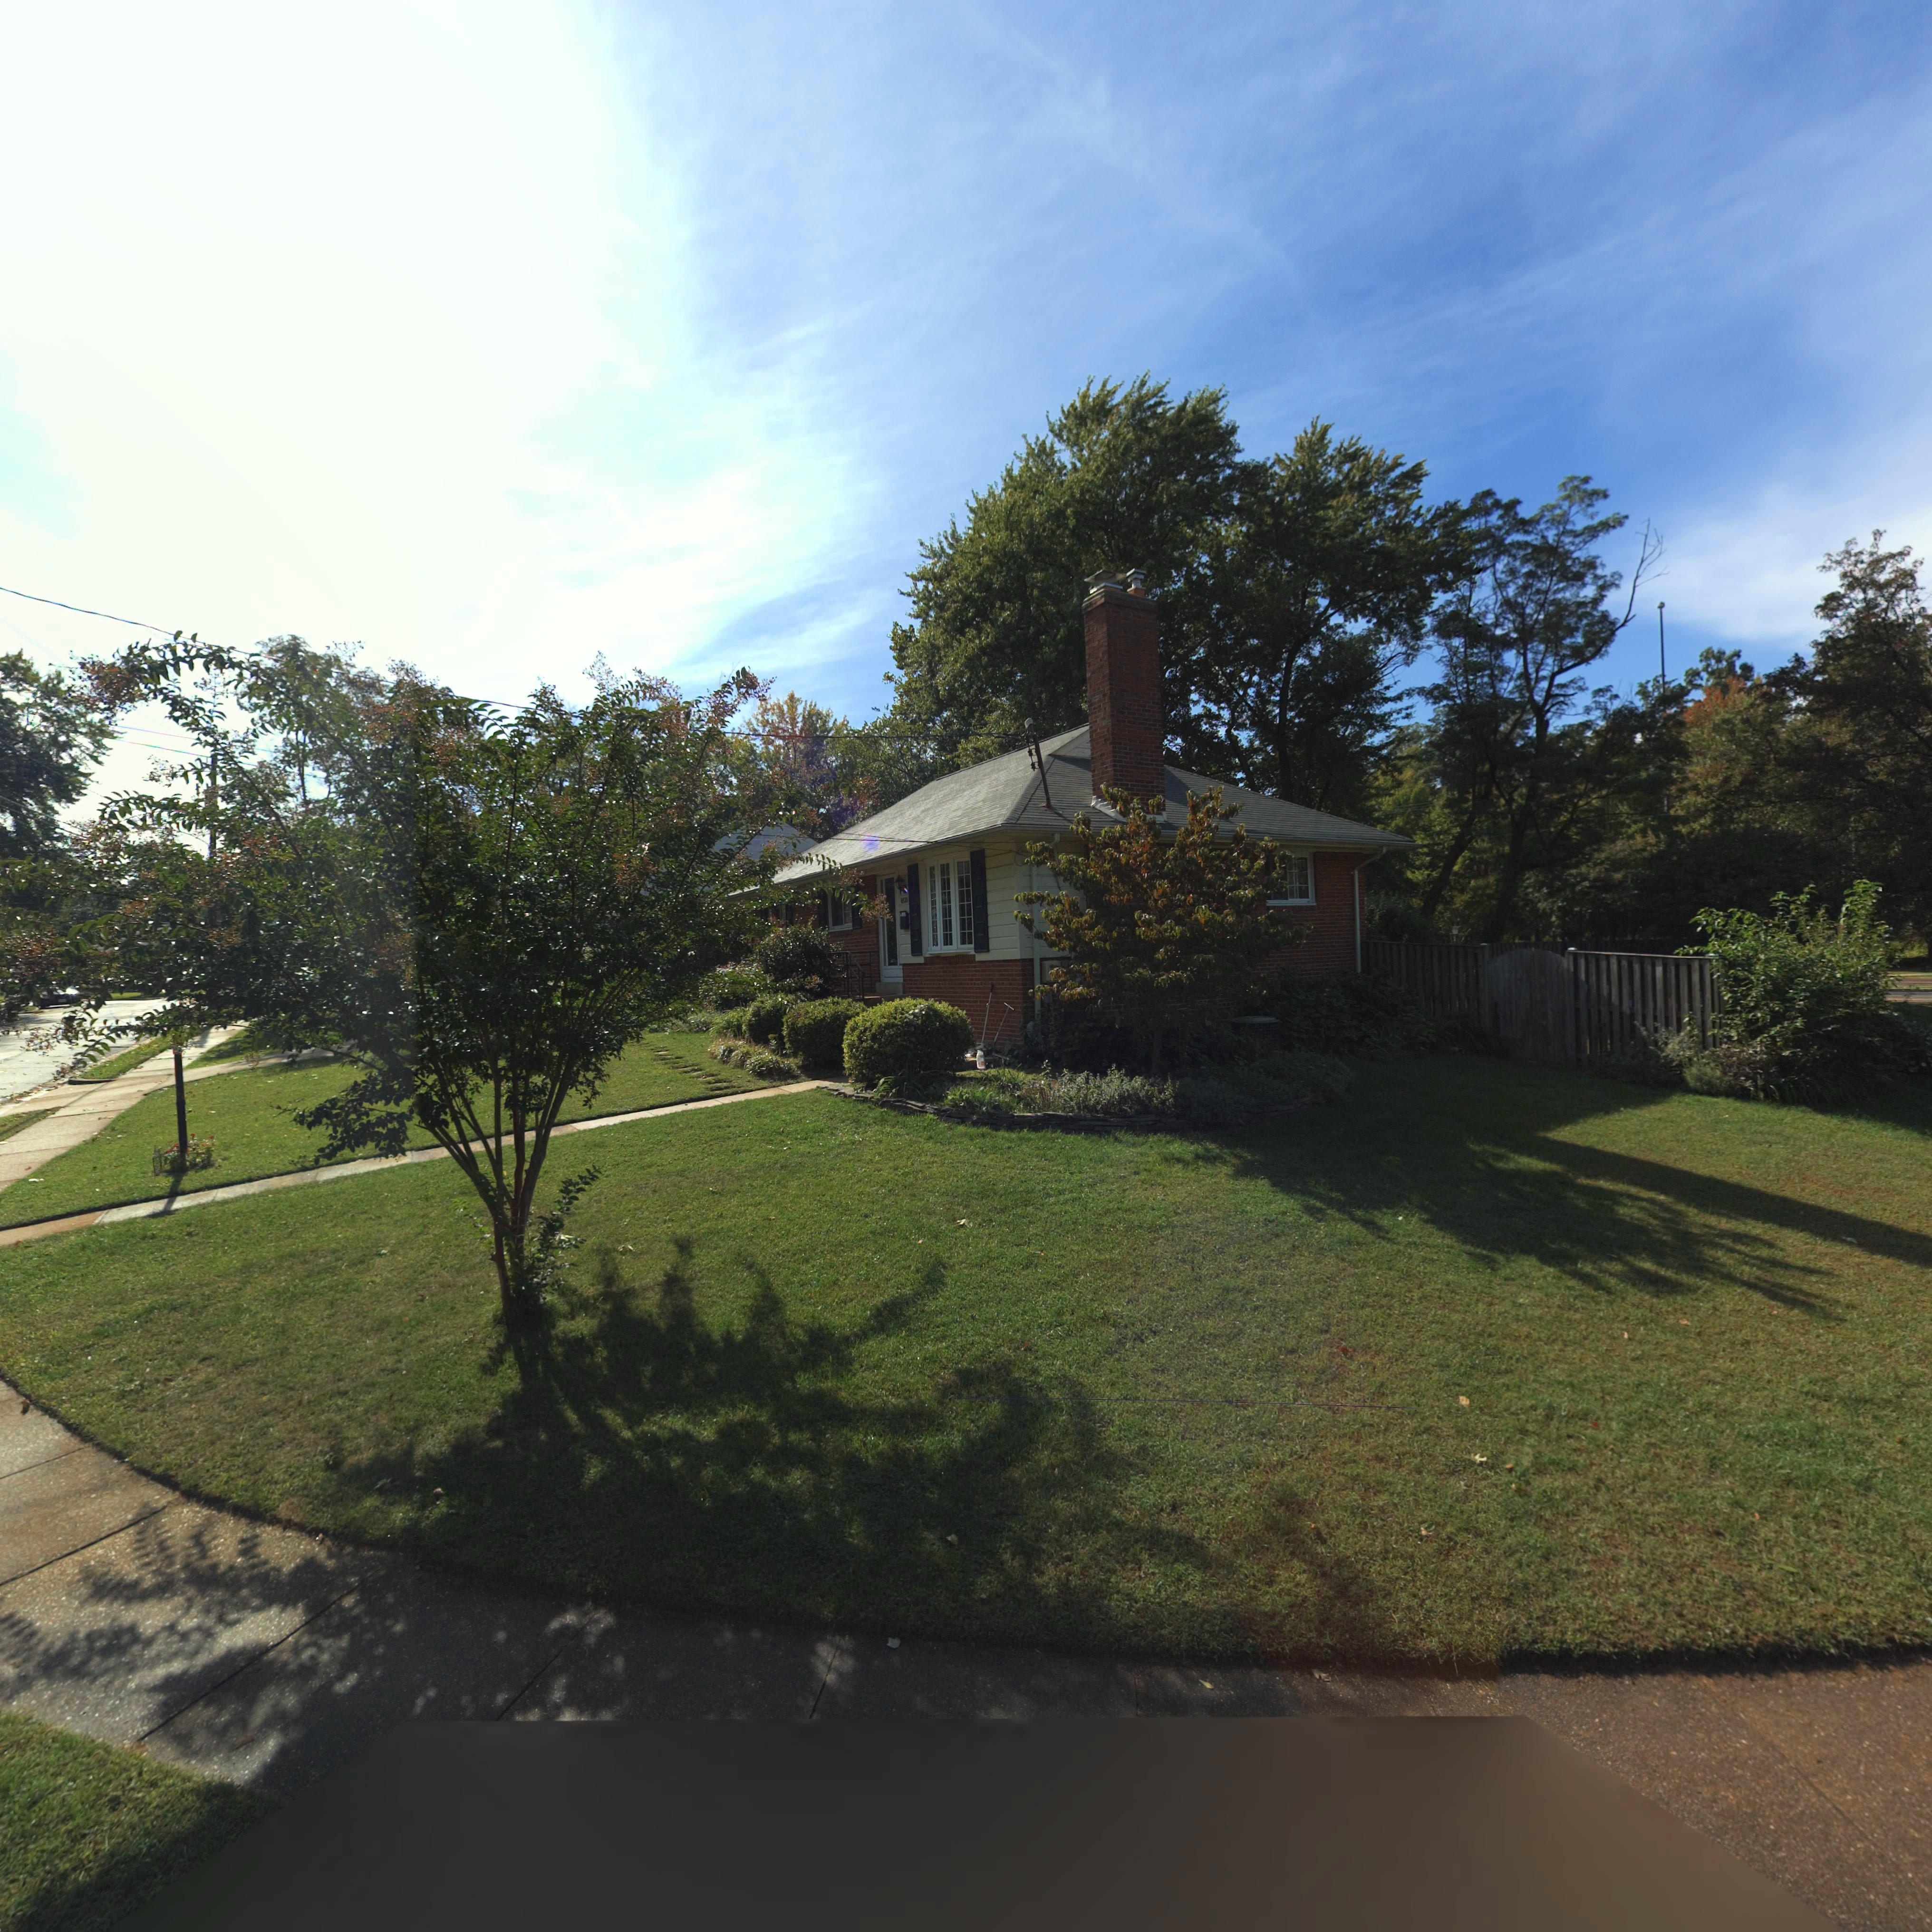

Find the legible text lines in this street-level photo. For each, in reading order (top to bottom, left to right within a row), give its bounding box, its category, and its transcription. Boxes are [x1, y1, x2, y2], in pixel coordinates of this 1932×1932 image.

[900, 896, 908, 904] StreetNumber: 1820